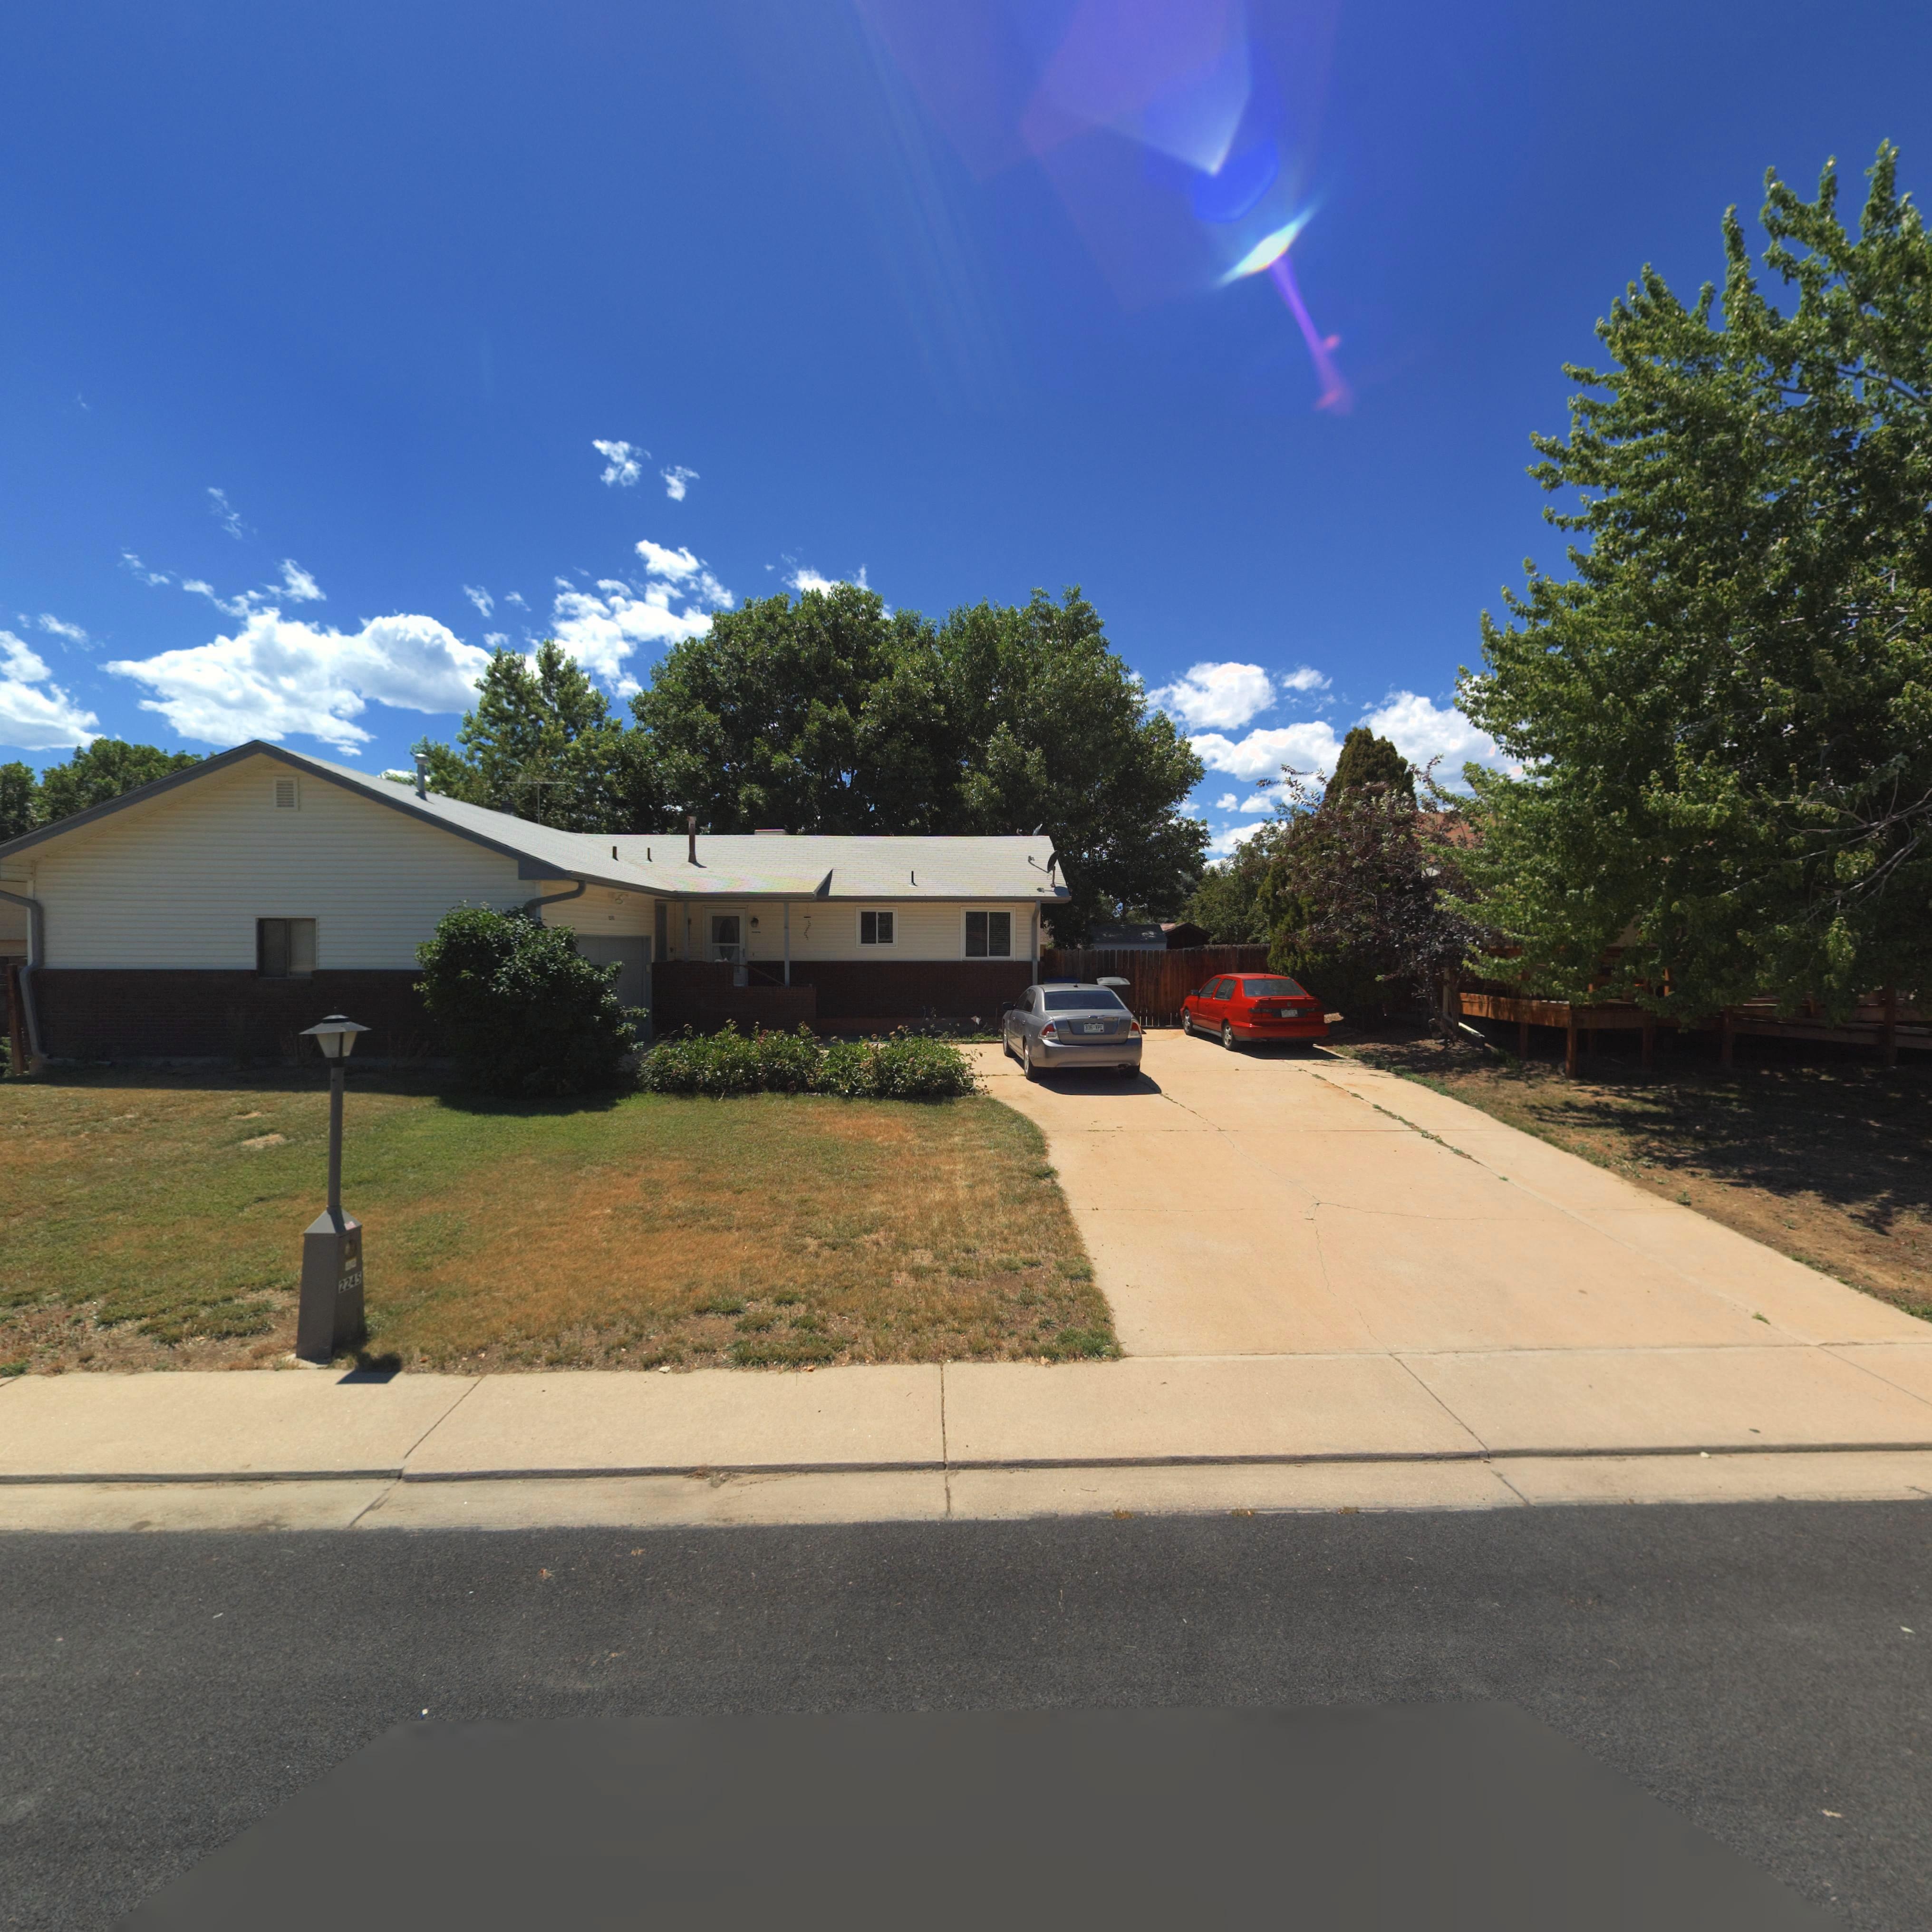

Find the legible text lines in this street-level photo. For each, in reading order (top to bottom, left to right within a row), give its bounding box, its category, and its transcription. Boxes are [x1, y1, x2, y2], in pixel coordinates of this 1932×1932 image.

[338, 1271, 361, 1293] StreetNumber: 2245